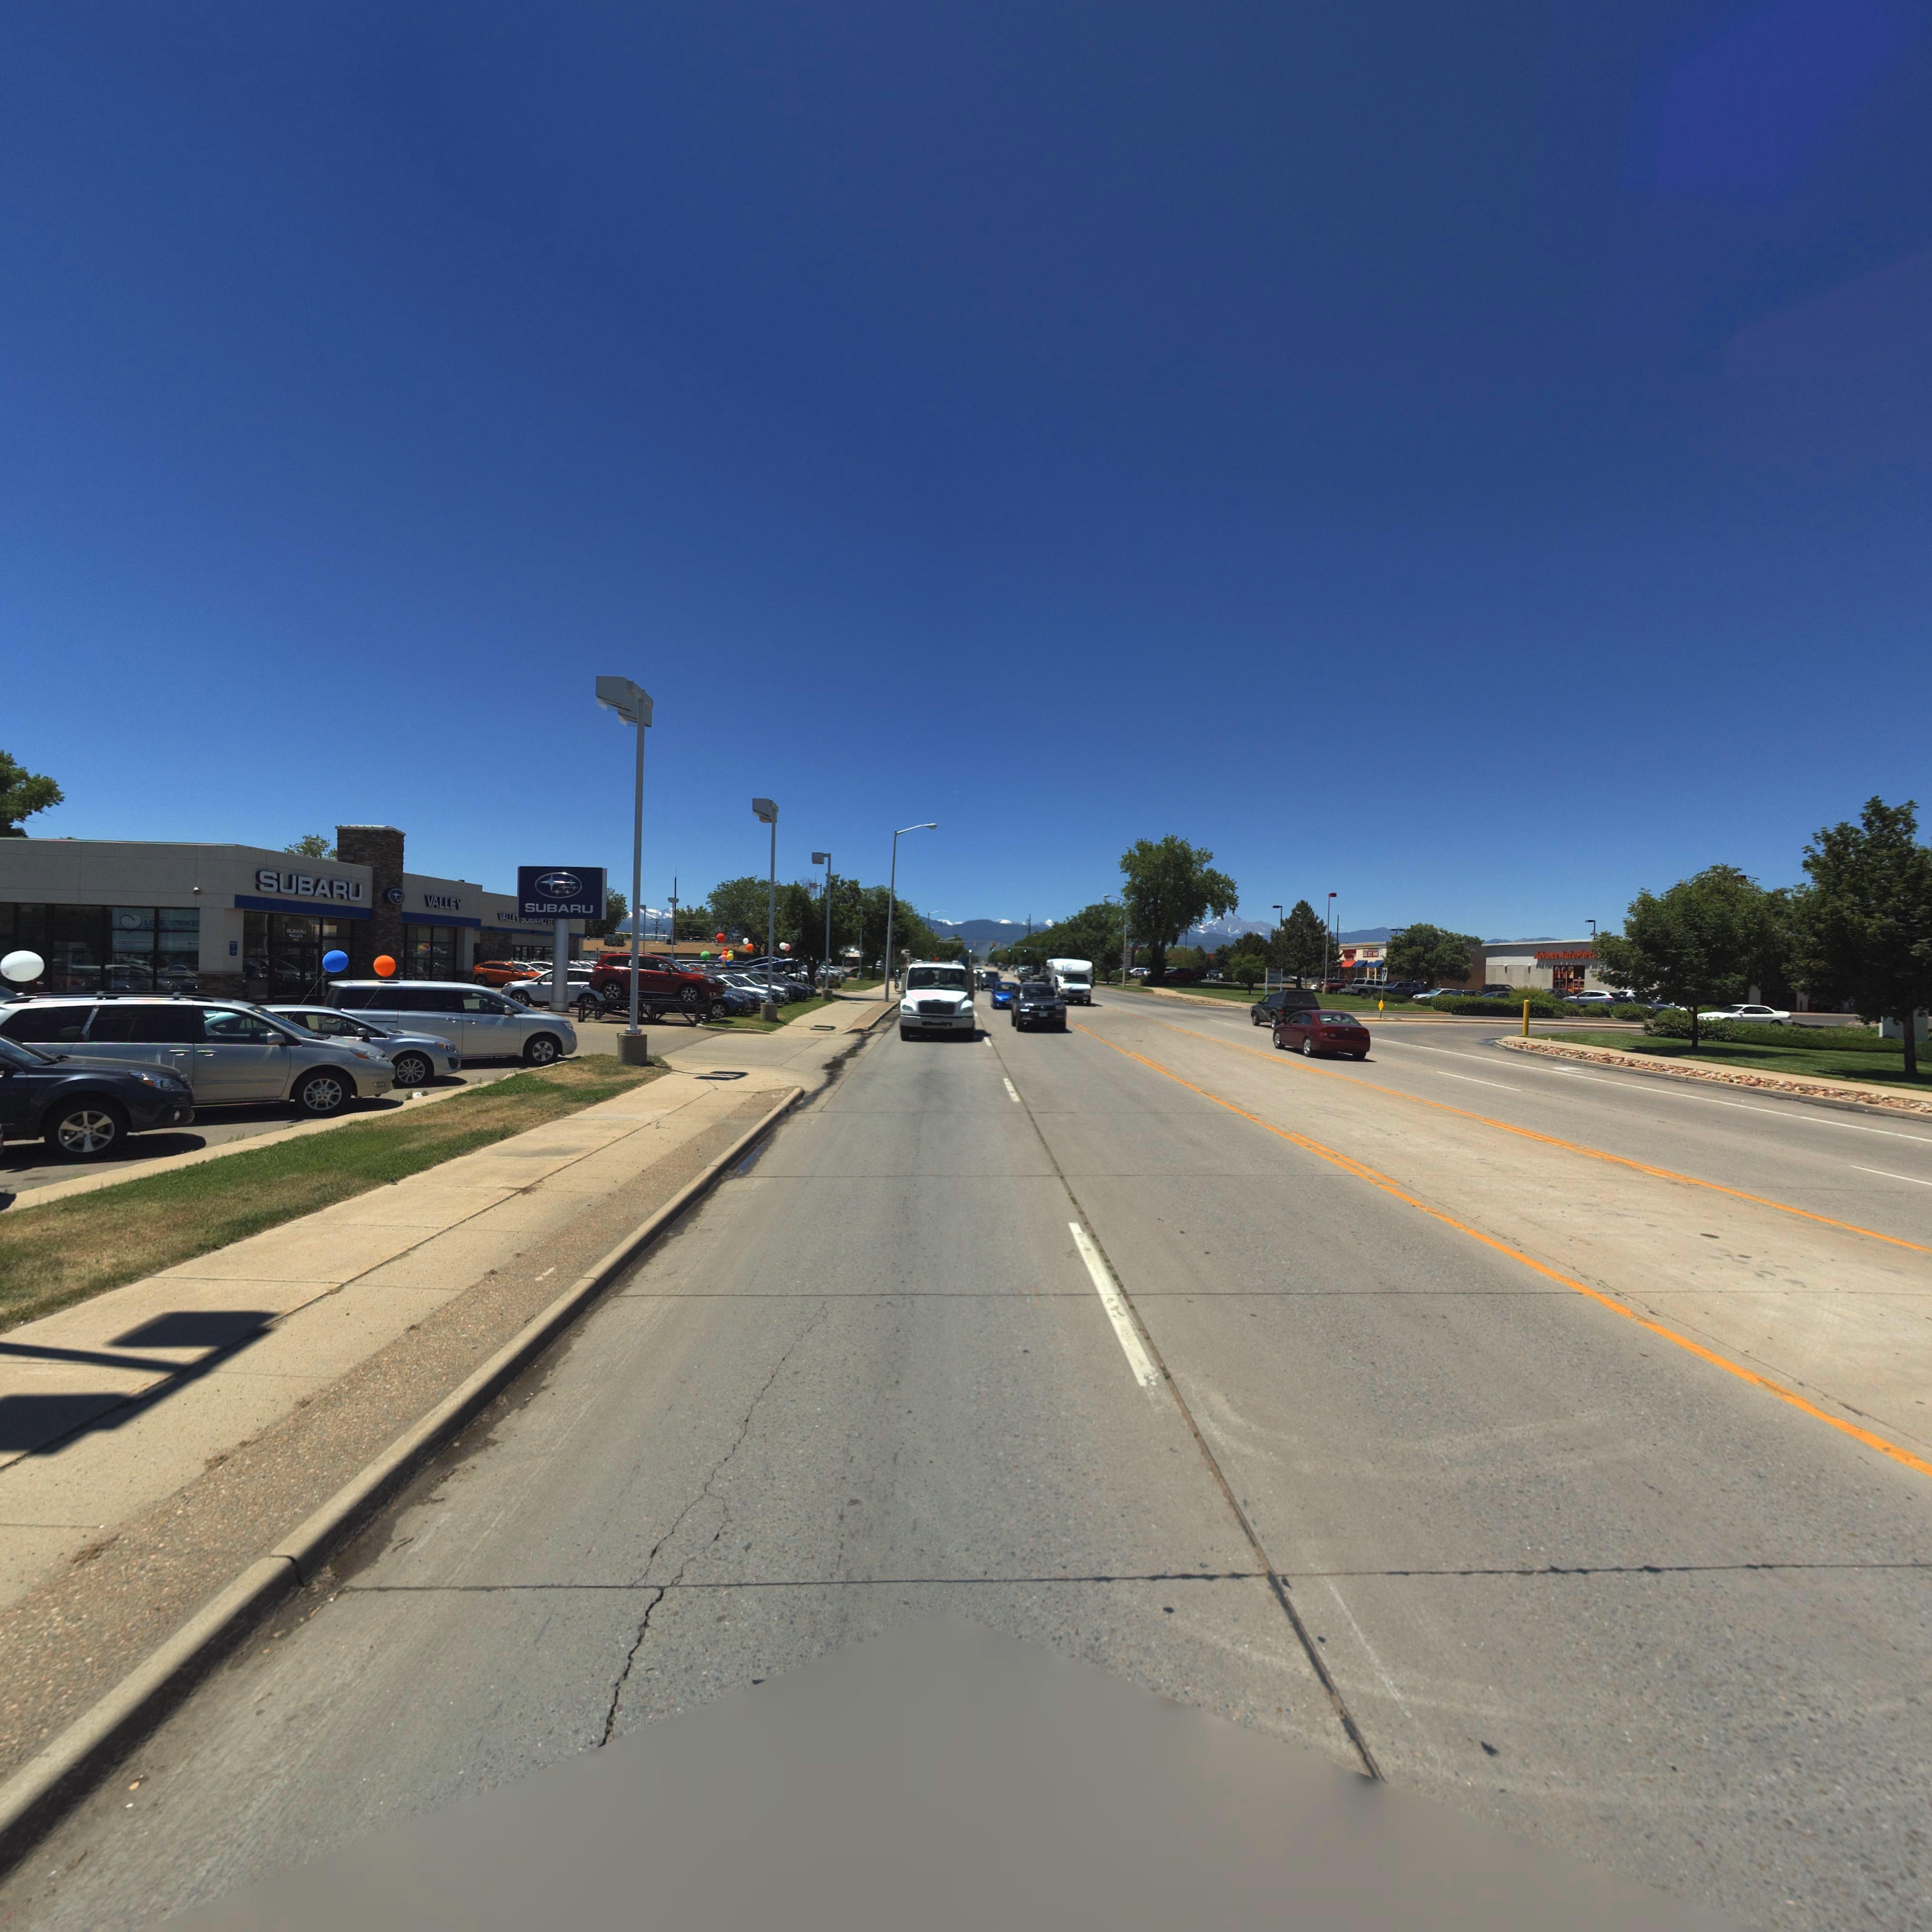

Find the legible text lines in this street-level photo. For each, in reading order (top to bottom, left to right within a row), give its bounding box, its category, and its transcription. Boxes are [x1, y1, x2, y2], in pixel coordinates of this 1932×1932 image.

[257, 869, 363, 902] BusinessName: SUBARU
[425, 895, 463, 910] BusinessName: VALLEY
[524, 903, 593, 914] BusinessName: SUBARU
[498, 912, 553, 926] BusinessName: VALLEY ***ARU SE
[287, 928, 306, 934] BusinessName: *U***U
[290, 934, 303, 938] BusinessName: S***S
[1533, 949, 1596, 959] BusinessName: Advance AutoParts